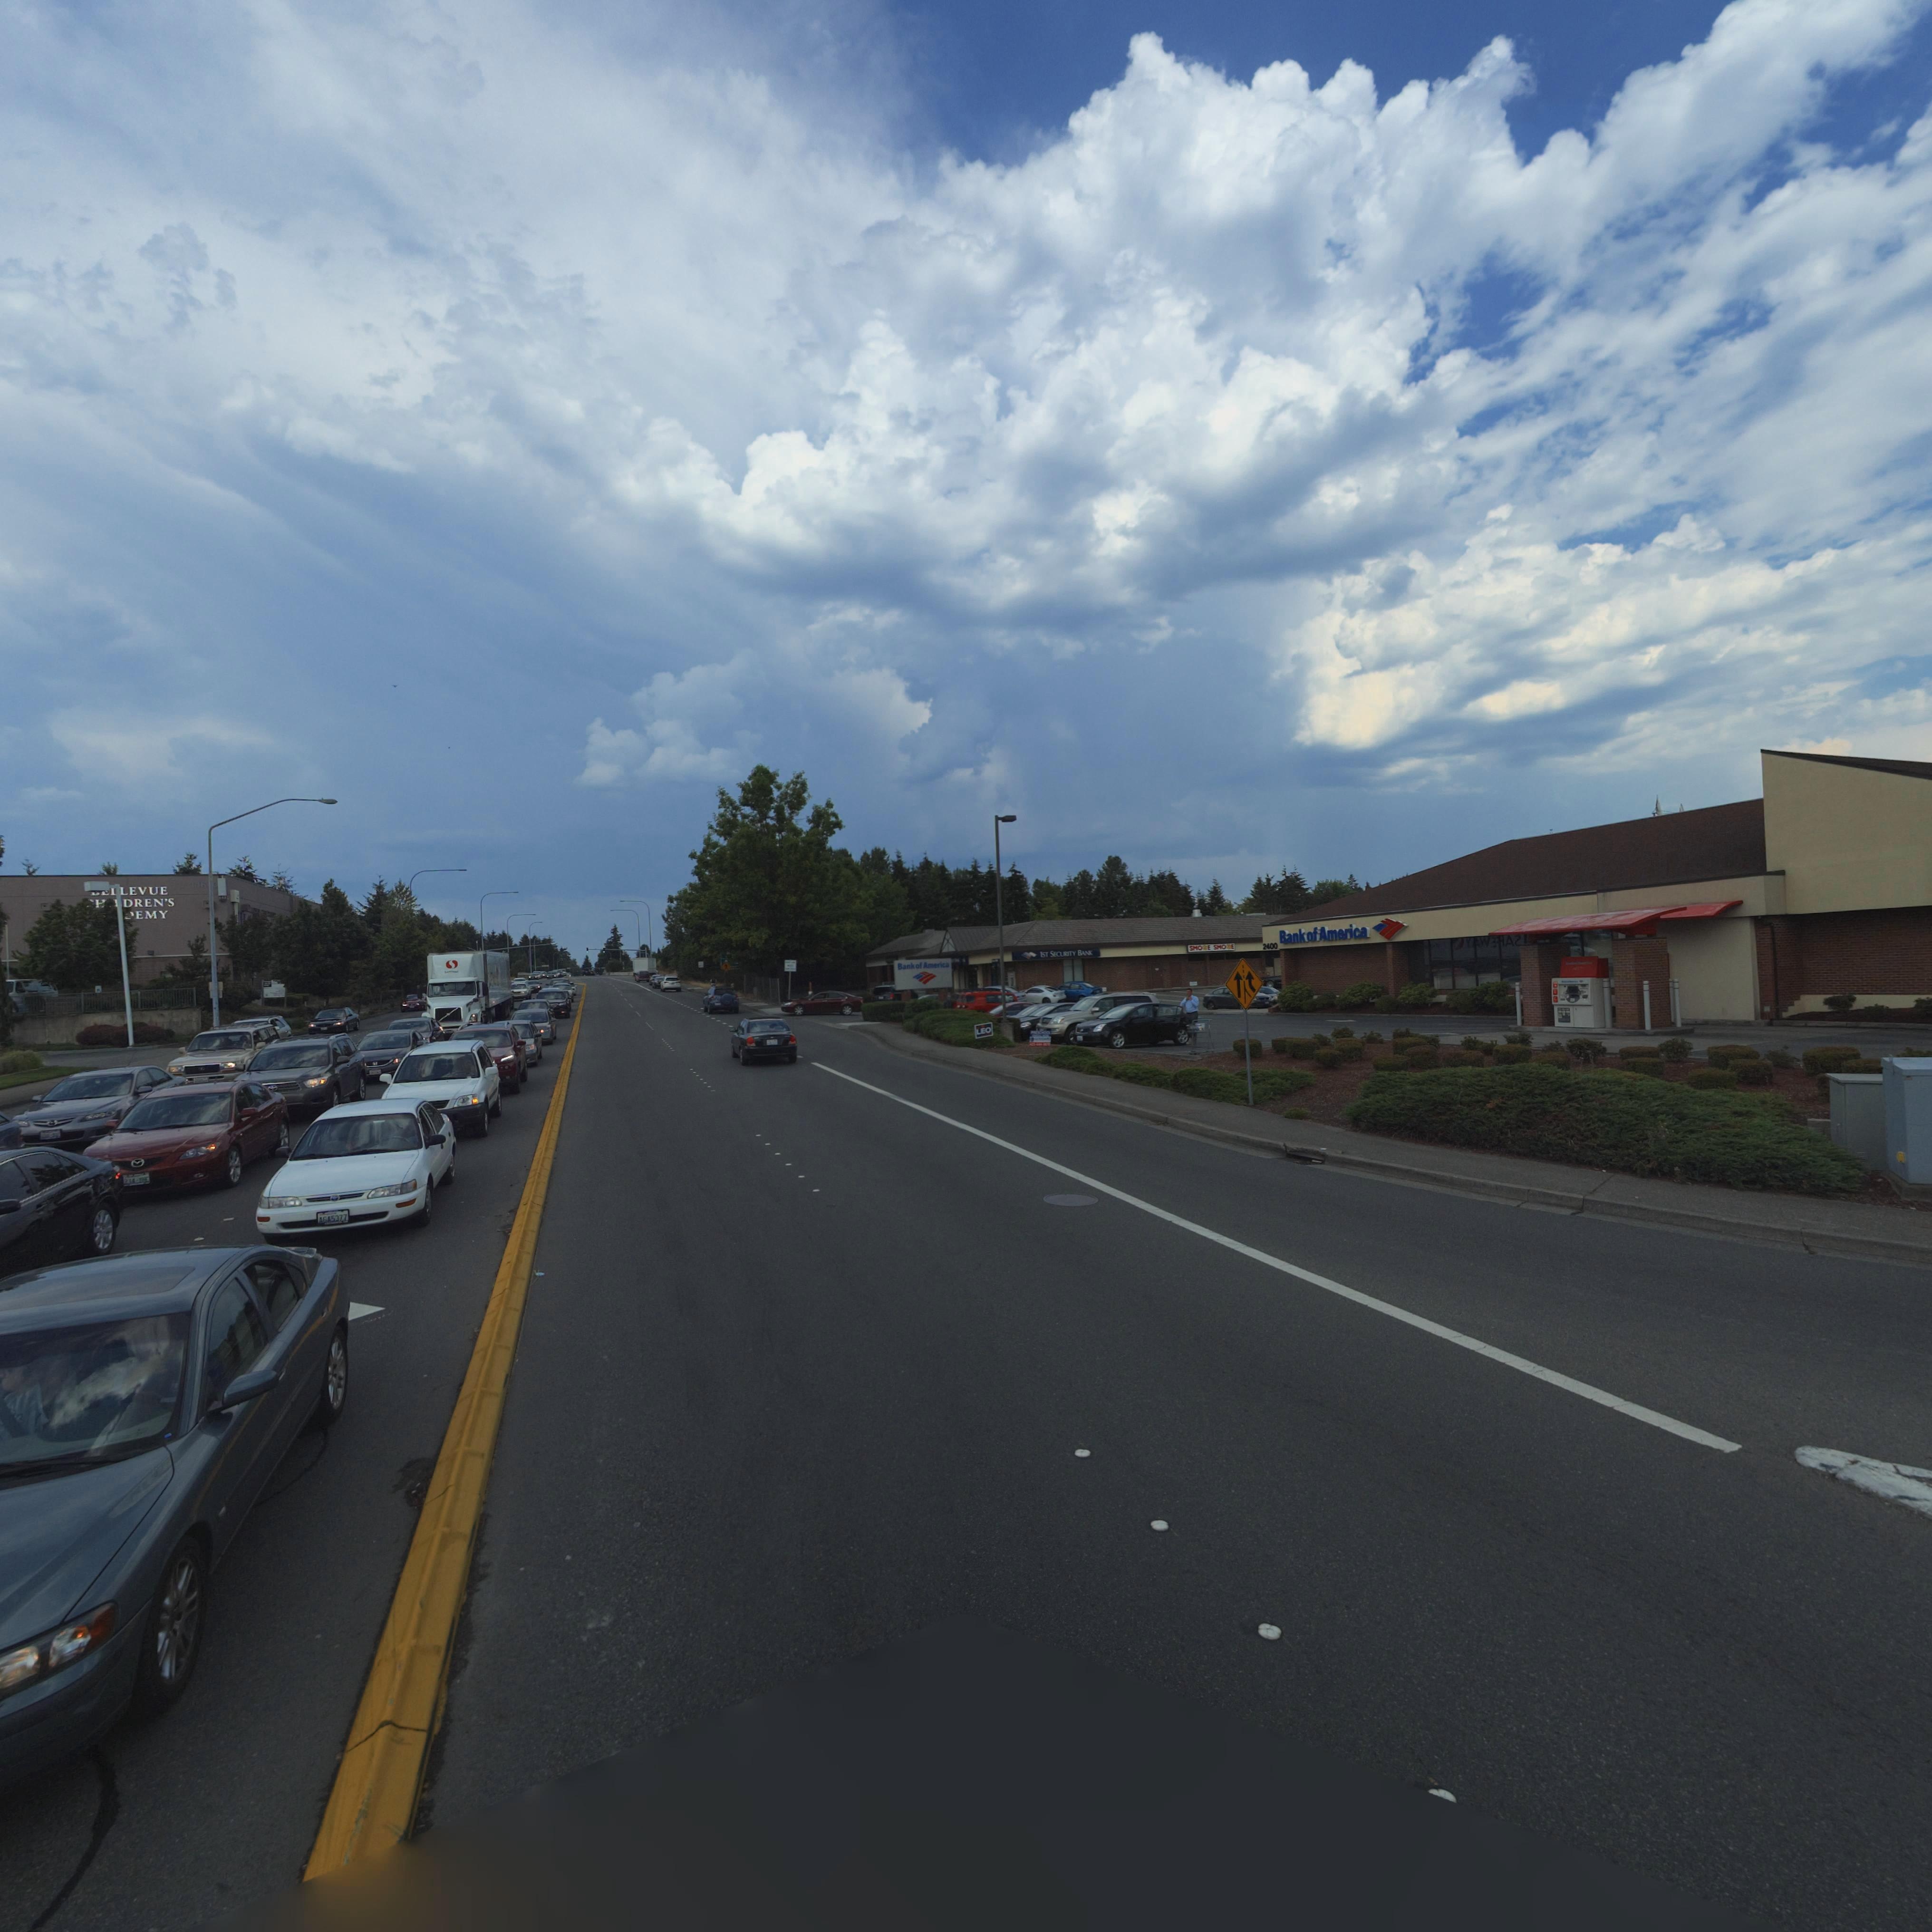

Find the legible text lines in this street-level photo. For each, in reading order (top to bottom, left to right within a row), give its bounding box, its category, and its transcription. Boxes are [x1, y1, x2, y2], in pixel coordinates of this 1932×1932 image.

[191, 881, 206, 889] StreetNumber: 146
[90, 886, 169, 895] BusinessName: ***LEVUE
[87, 898, 174, 908] BusinessName: *H**DREN'S
[124, 909, 168, 920] BusinessName: *EMY
[1278, 923, 1373, 945] BusinessName: Bank of America
[1189, 944, 1235, 951] BusinessName: SMO*E SMO*E
[1262, 942, 1278, 950] StreetNumber: 2400
[1038, 949, 1094, 958] BusinessName: 1ST SECURITY BANK
[898, 961, 950, 970] BusinessName: Bank of America